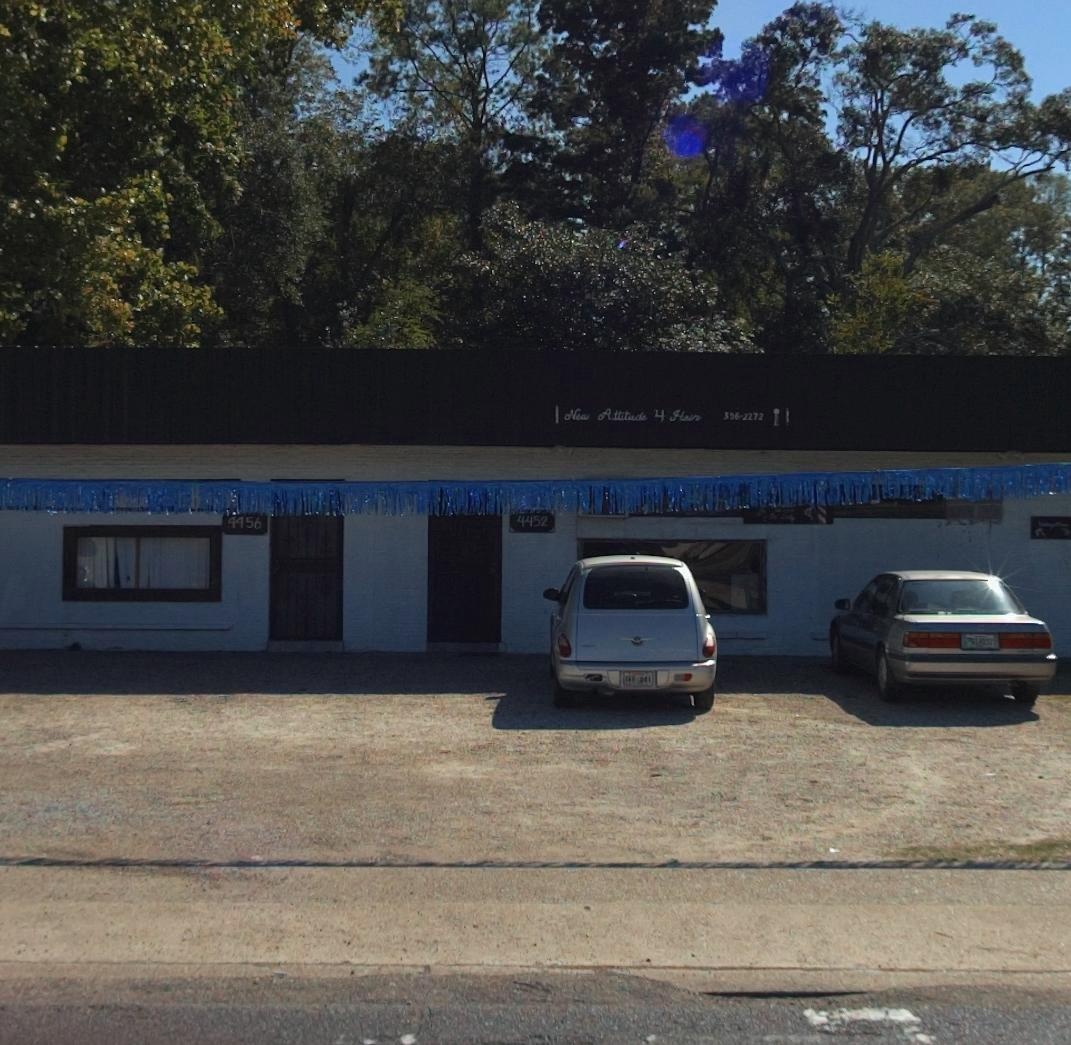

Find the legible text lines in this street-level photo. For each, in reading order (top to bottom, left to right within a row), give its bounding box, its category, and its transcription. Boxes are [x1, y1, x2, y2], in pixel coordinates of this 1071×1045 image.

[562, 407, 702, 423] BusinessName: New Attitude 4 Hair
[721, 409, 767, 422] None: 356-32272
[225, 515, 263, 530] StreetNumber: 4456
[515, 513, 550, 528] StreetNumber: 4452